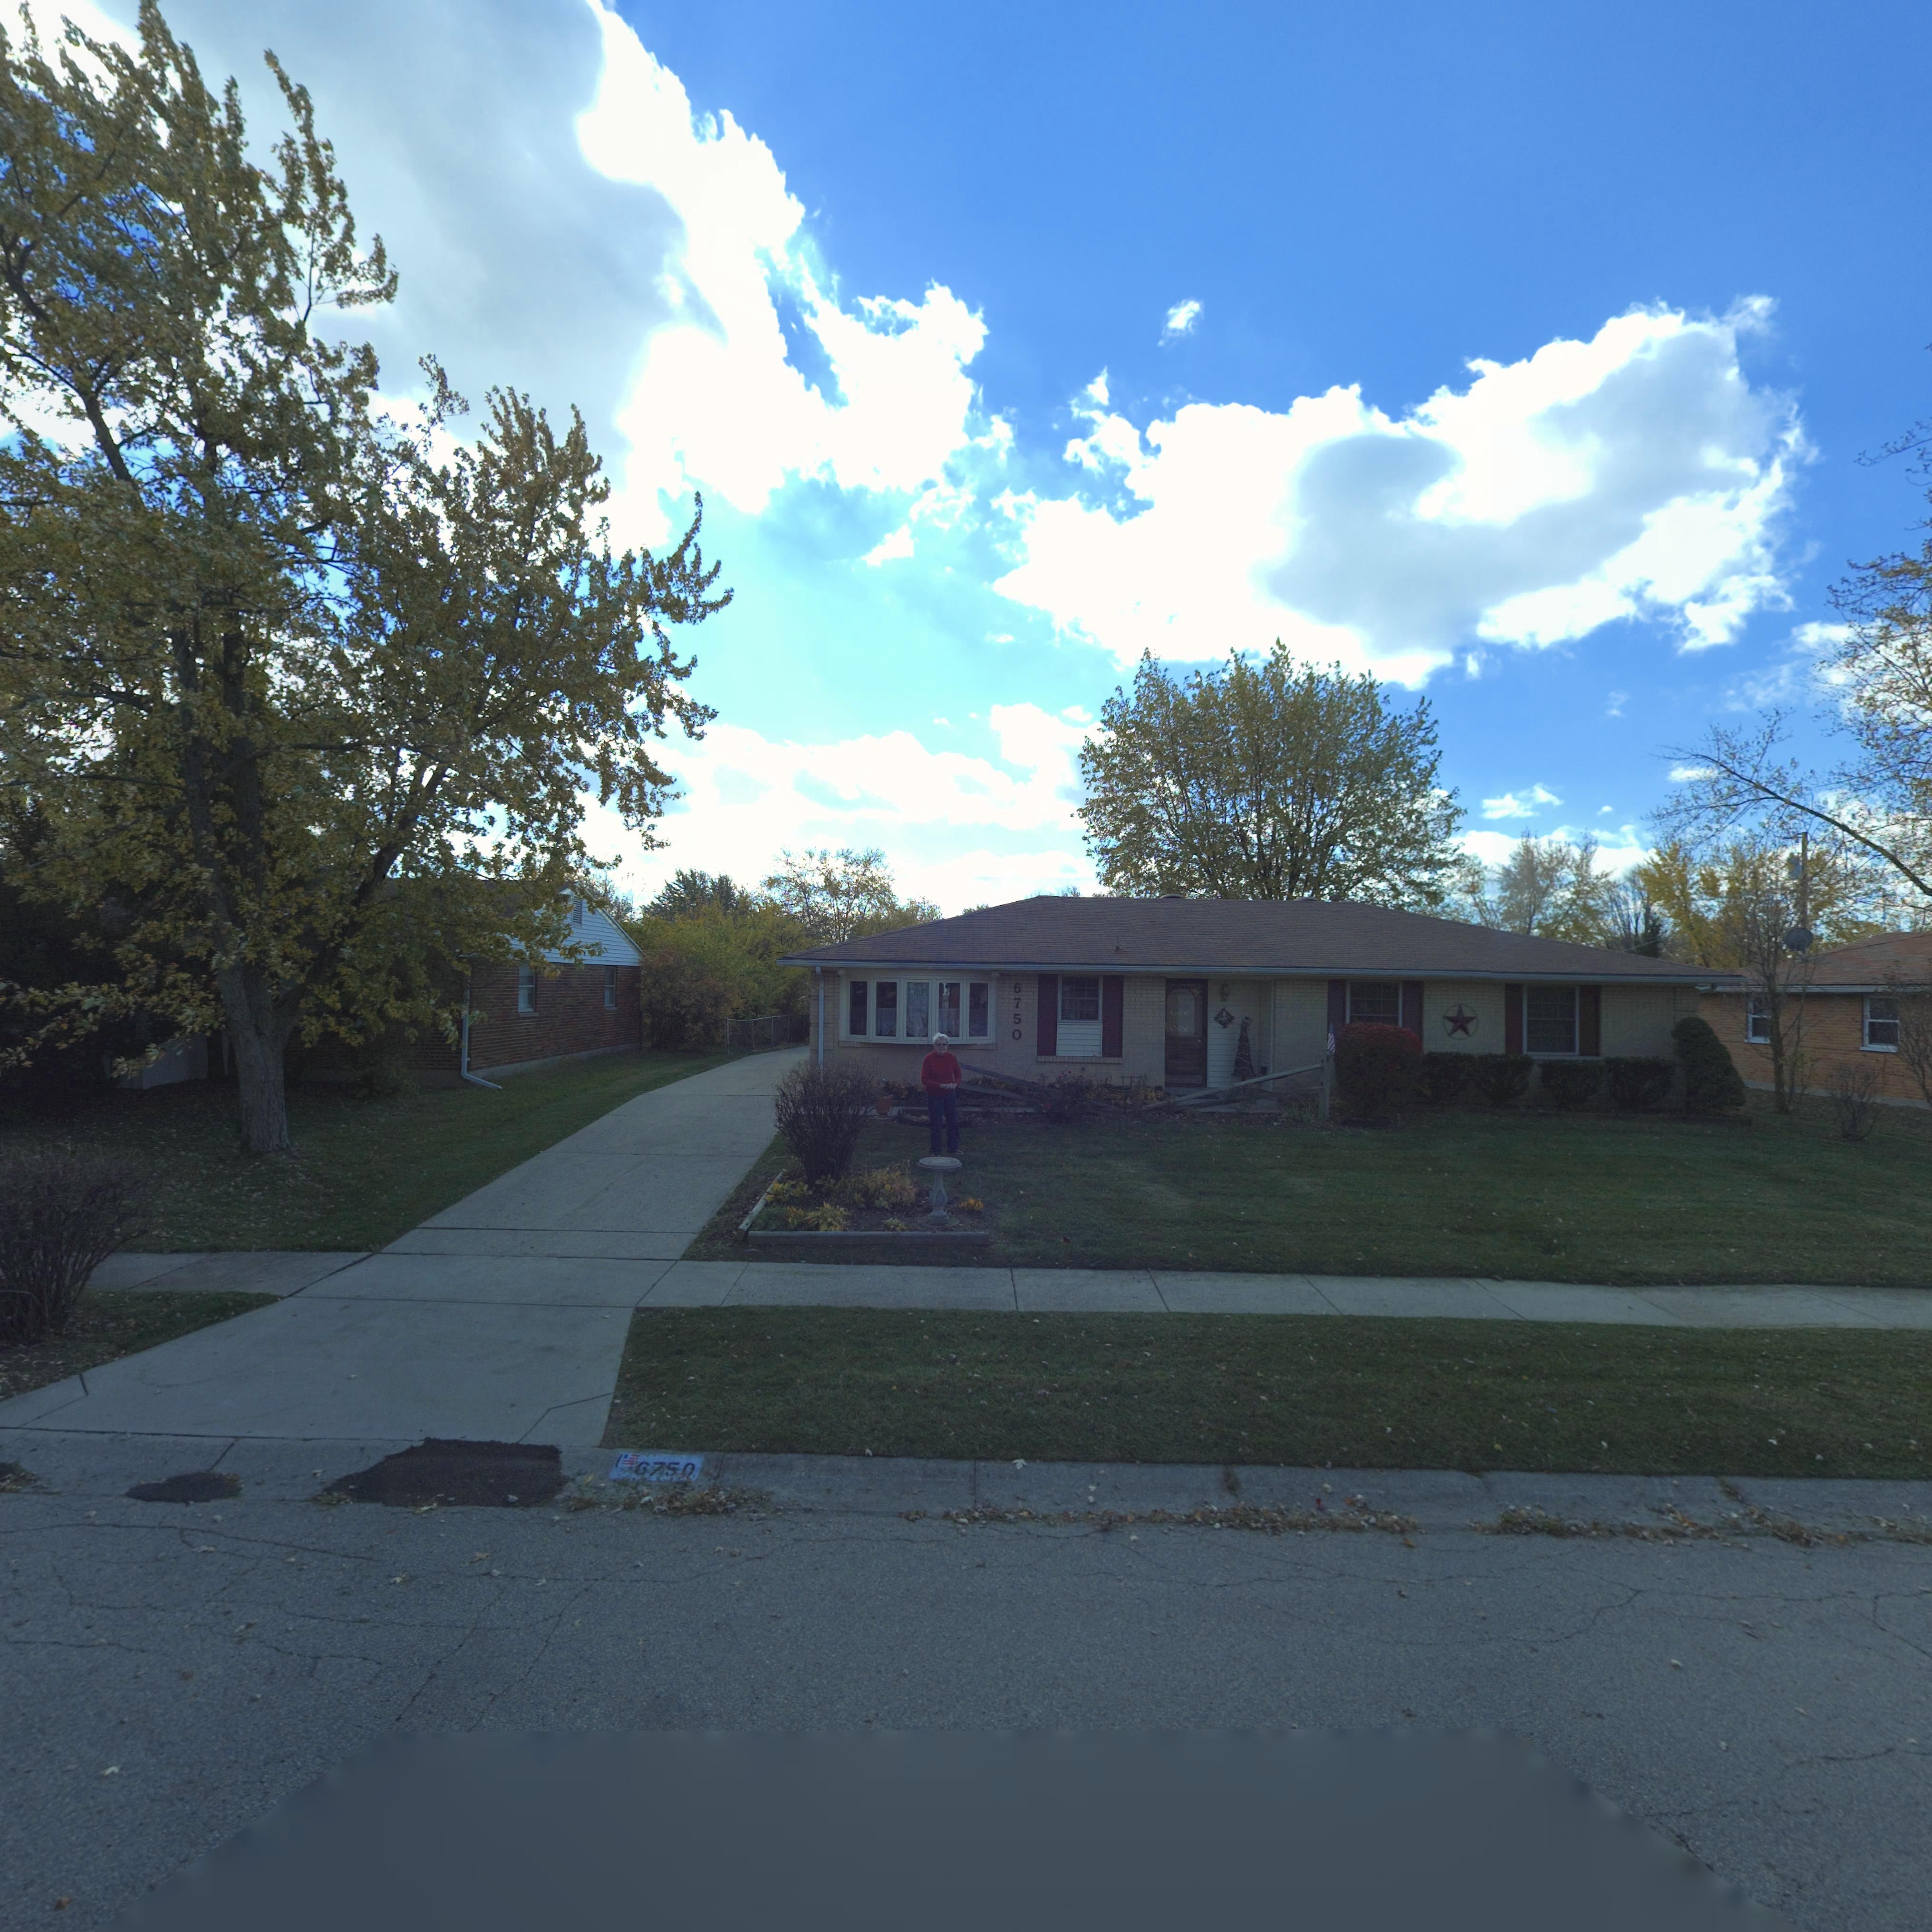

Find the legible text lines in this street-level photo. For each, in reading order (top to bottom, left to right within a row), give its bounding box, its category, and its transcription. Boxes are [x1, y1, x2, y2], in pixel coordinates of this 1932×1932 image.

[1011, 982, 1022, 1041] StreetNumber: 6750
[633, 1459, 697, 1479] StreetNumber: 6750